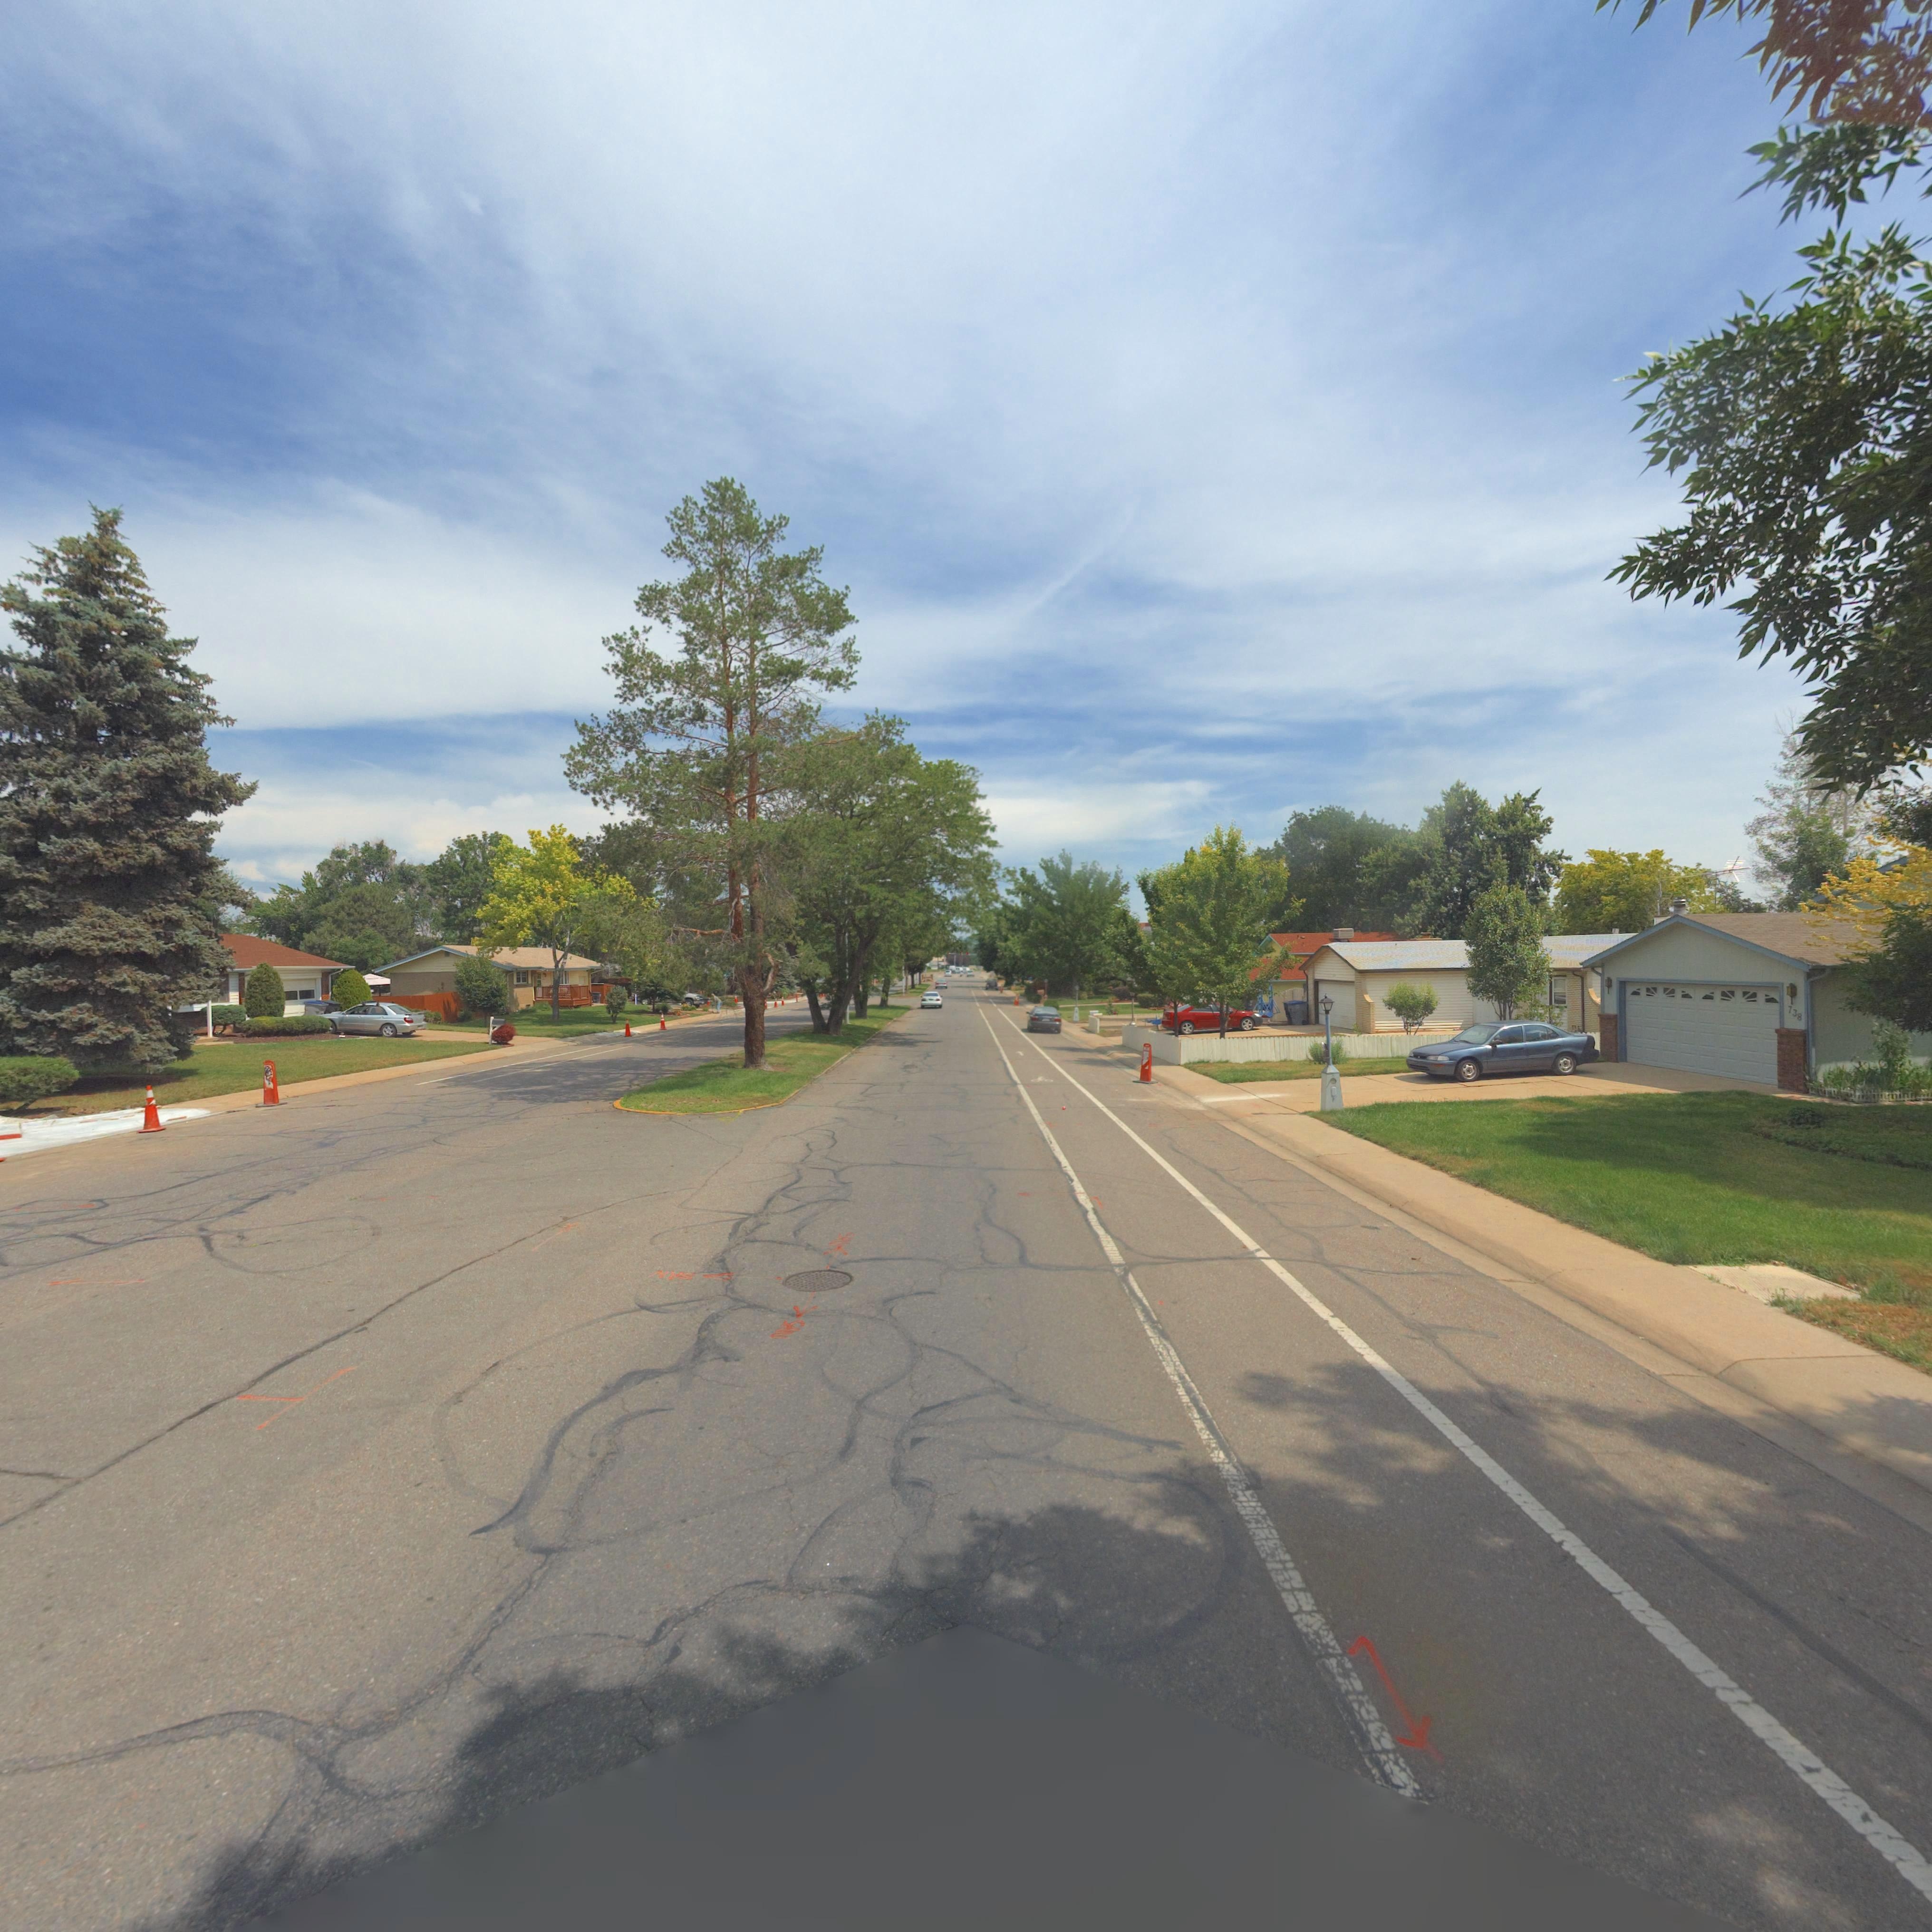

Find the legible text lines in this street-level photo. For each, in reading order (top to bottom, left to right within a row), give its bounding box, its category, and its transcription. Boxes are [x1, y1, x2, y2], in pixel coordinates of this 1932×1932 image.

[1787, 1005, 1802, 1021] StreetNumber: 738